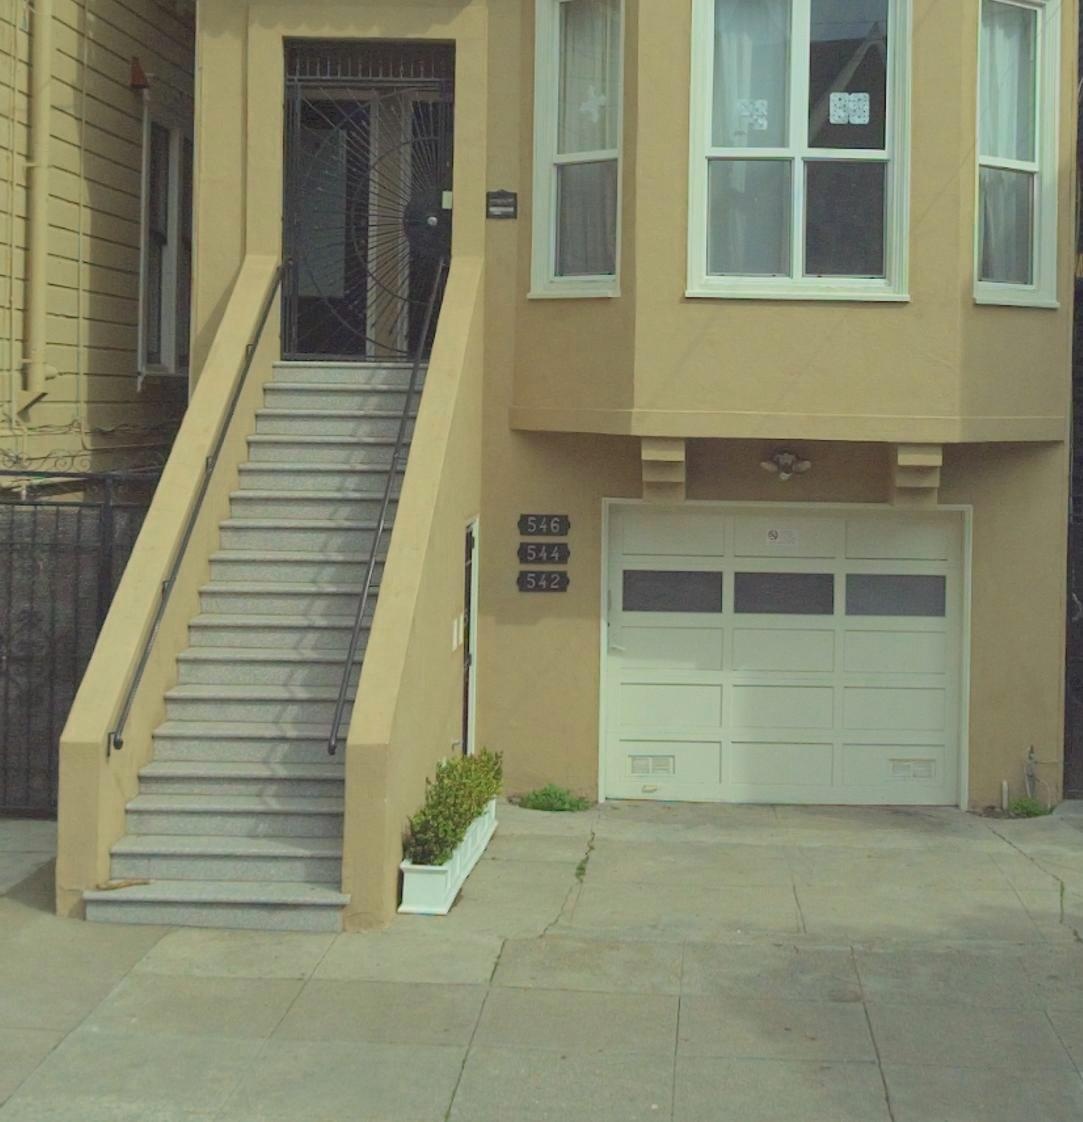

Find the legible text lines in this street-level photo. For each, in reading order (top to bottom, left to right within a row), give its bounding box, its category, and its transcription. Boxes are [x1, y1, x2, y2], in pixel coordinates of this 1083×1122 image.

[526, 515, 561, 534] StreetNumber: 546
[526, 543, 559, 561] StreetNumber: 544
[526, 571, 560, 589] StreetNumber: 542